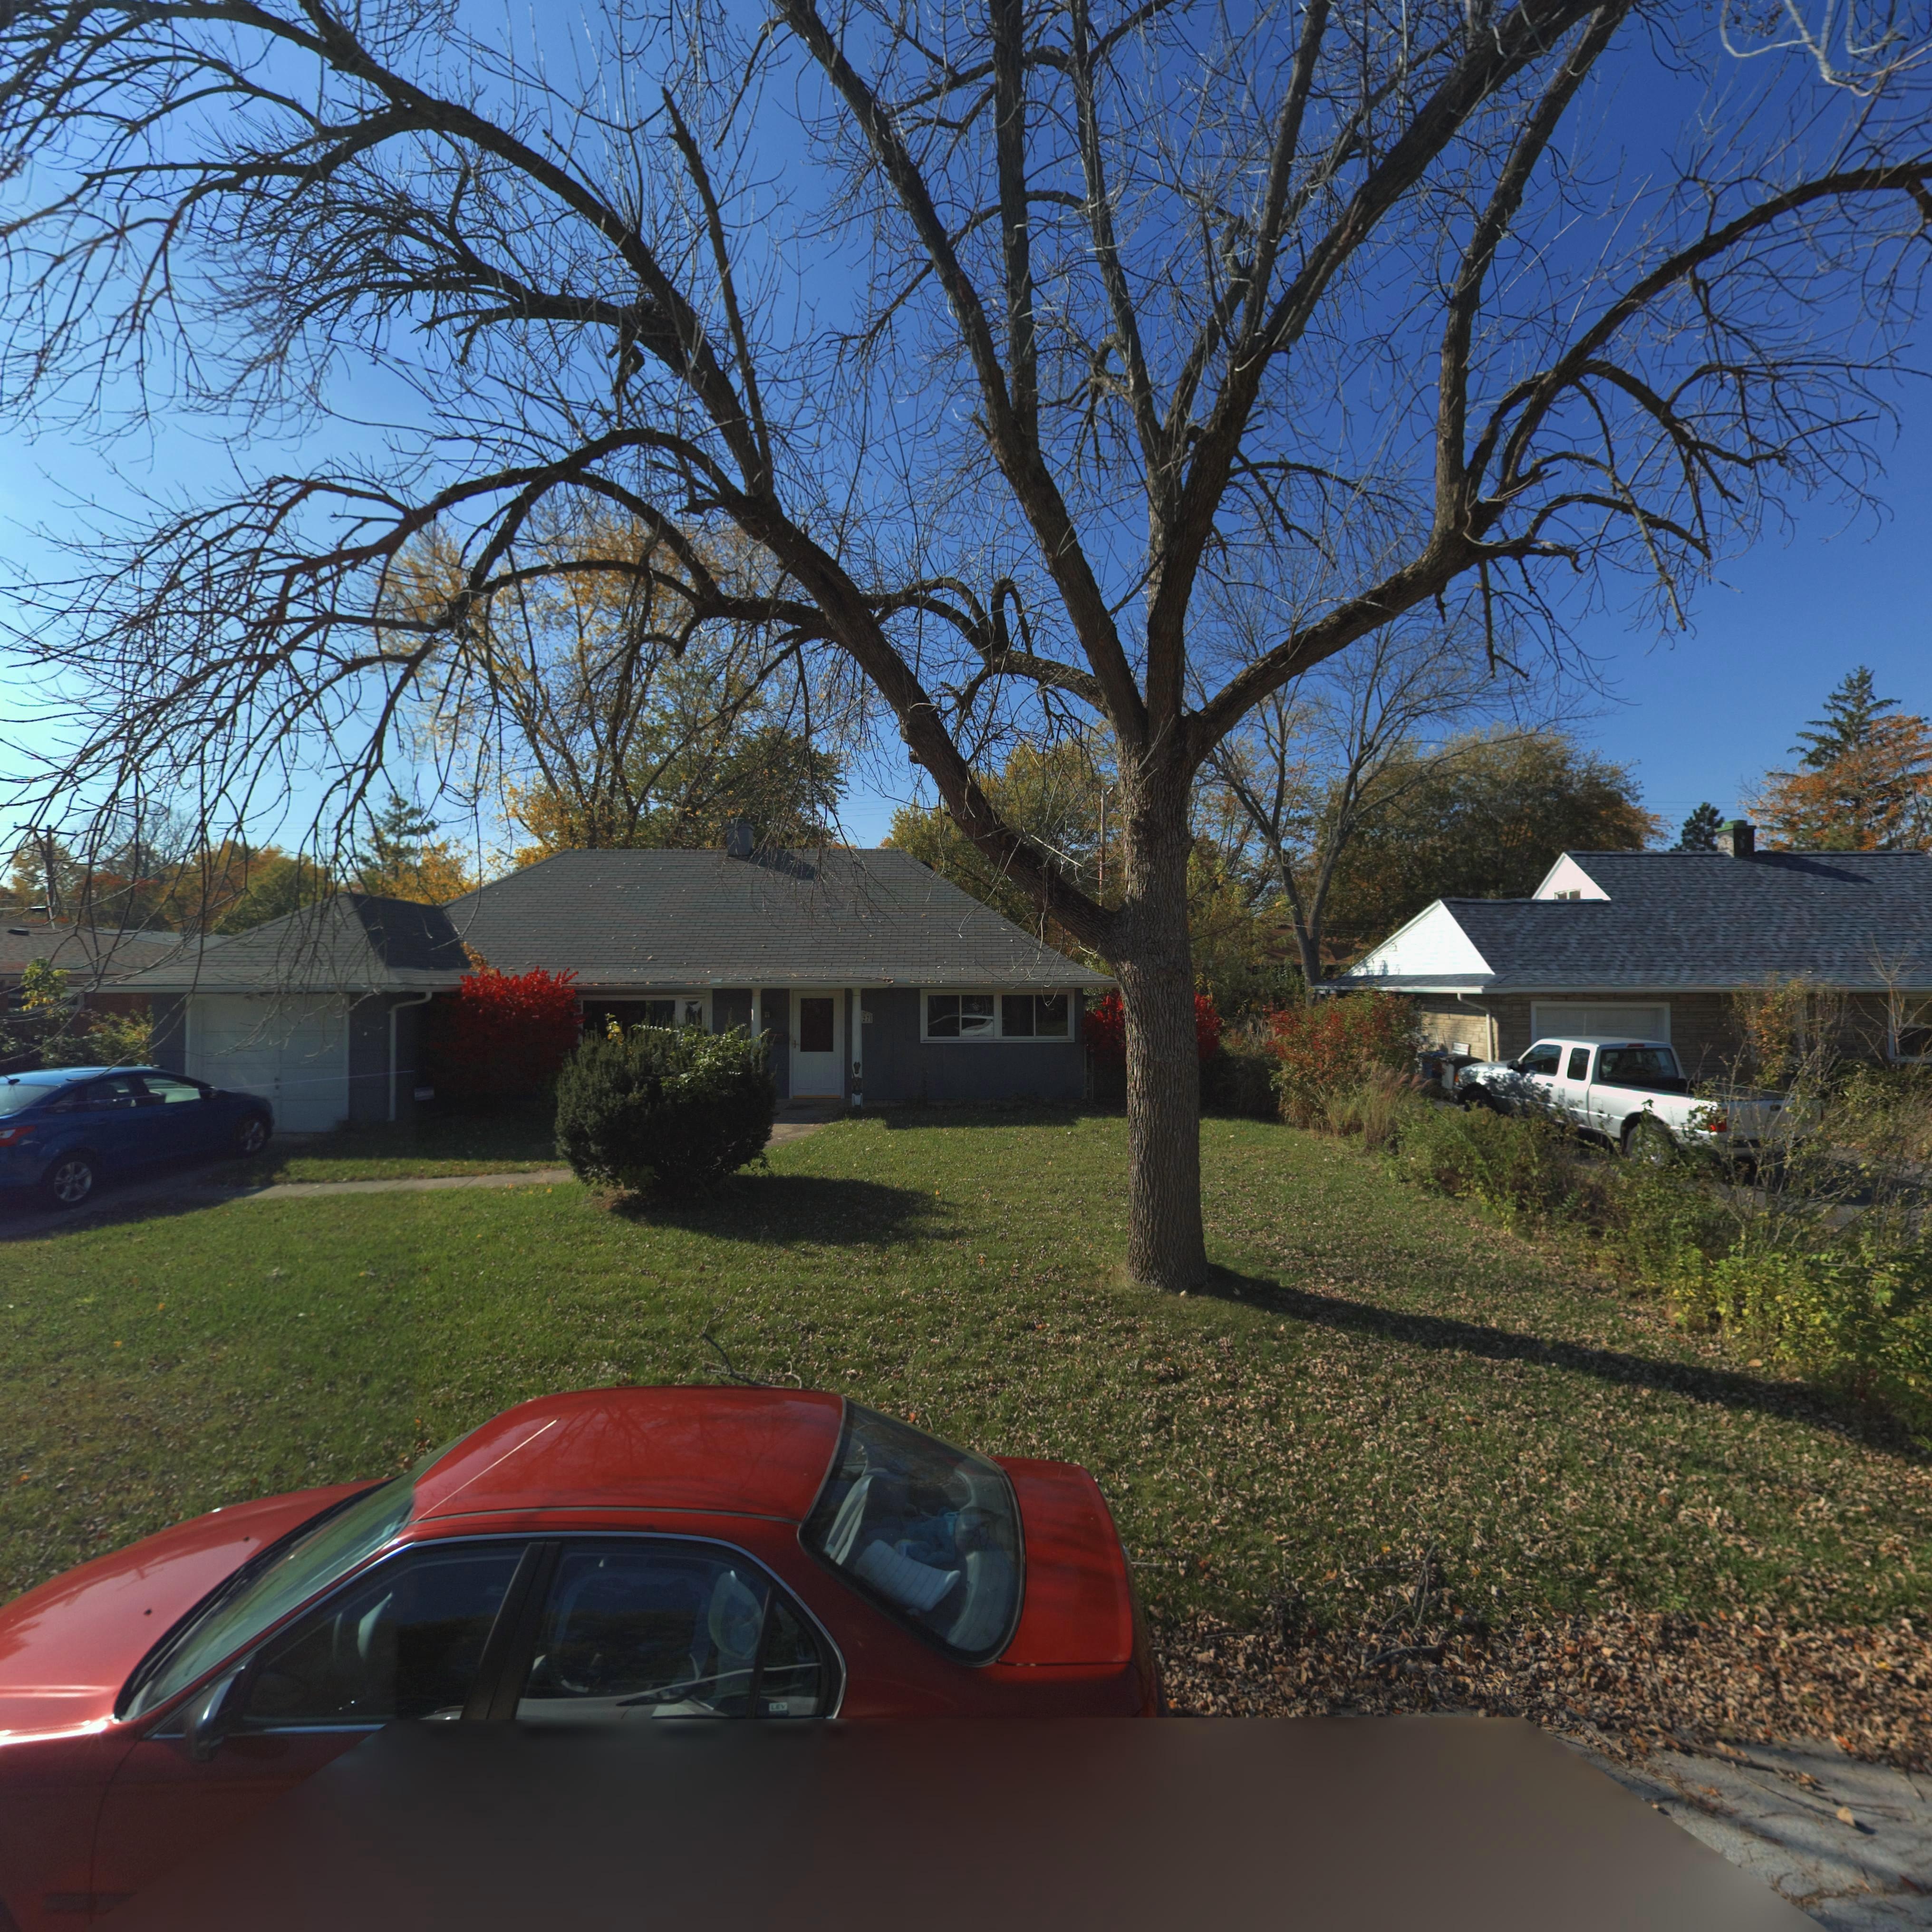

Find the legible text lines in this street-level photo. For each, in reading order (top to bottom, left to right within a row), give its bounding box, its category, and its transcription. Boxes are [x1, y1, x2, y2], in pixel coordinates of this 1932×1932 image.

[862, 1016, 869, 1022] StreetNumber: 27